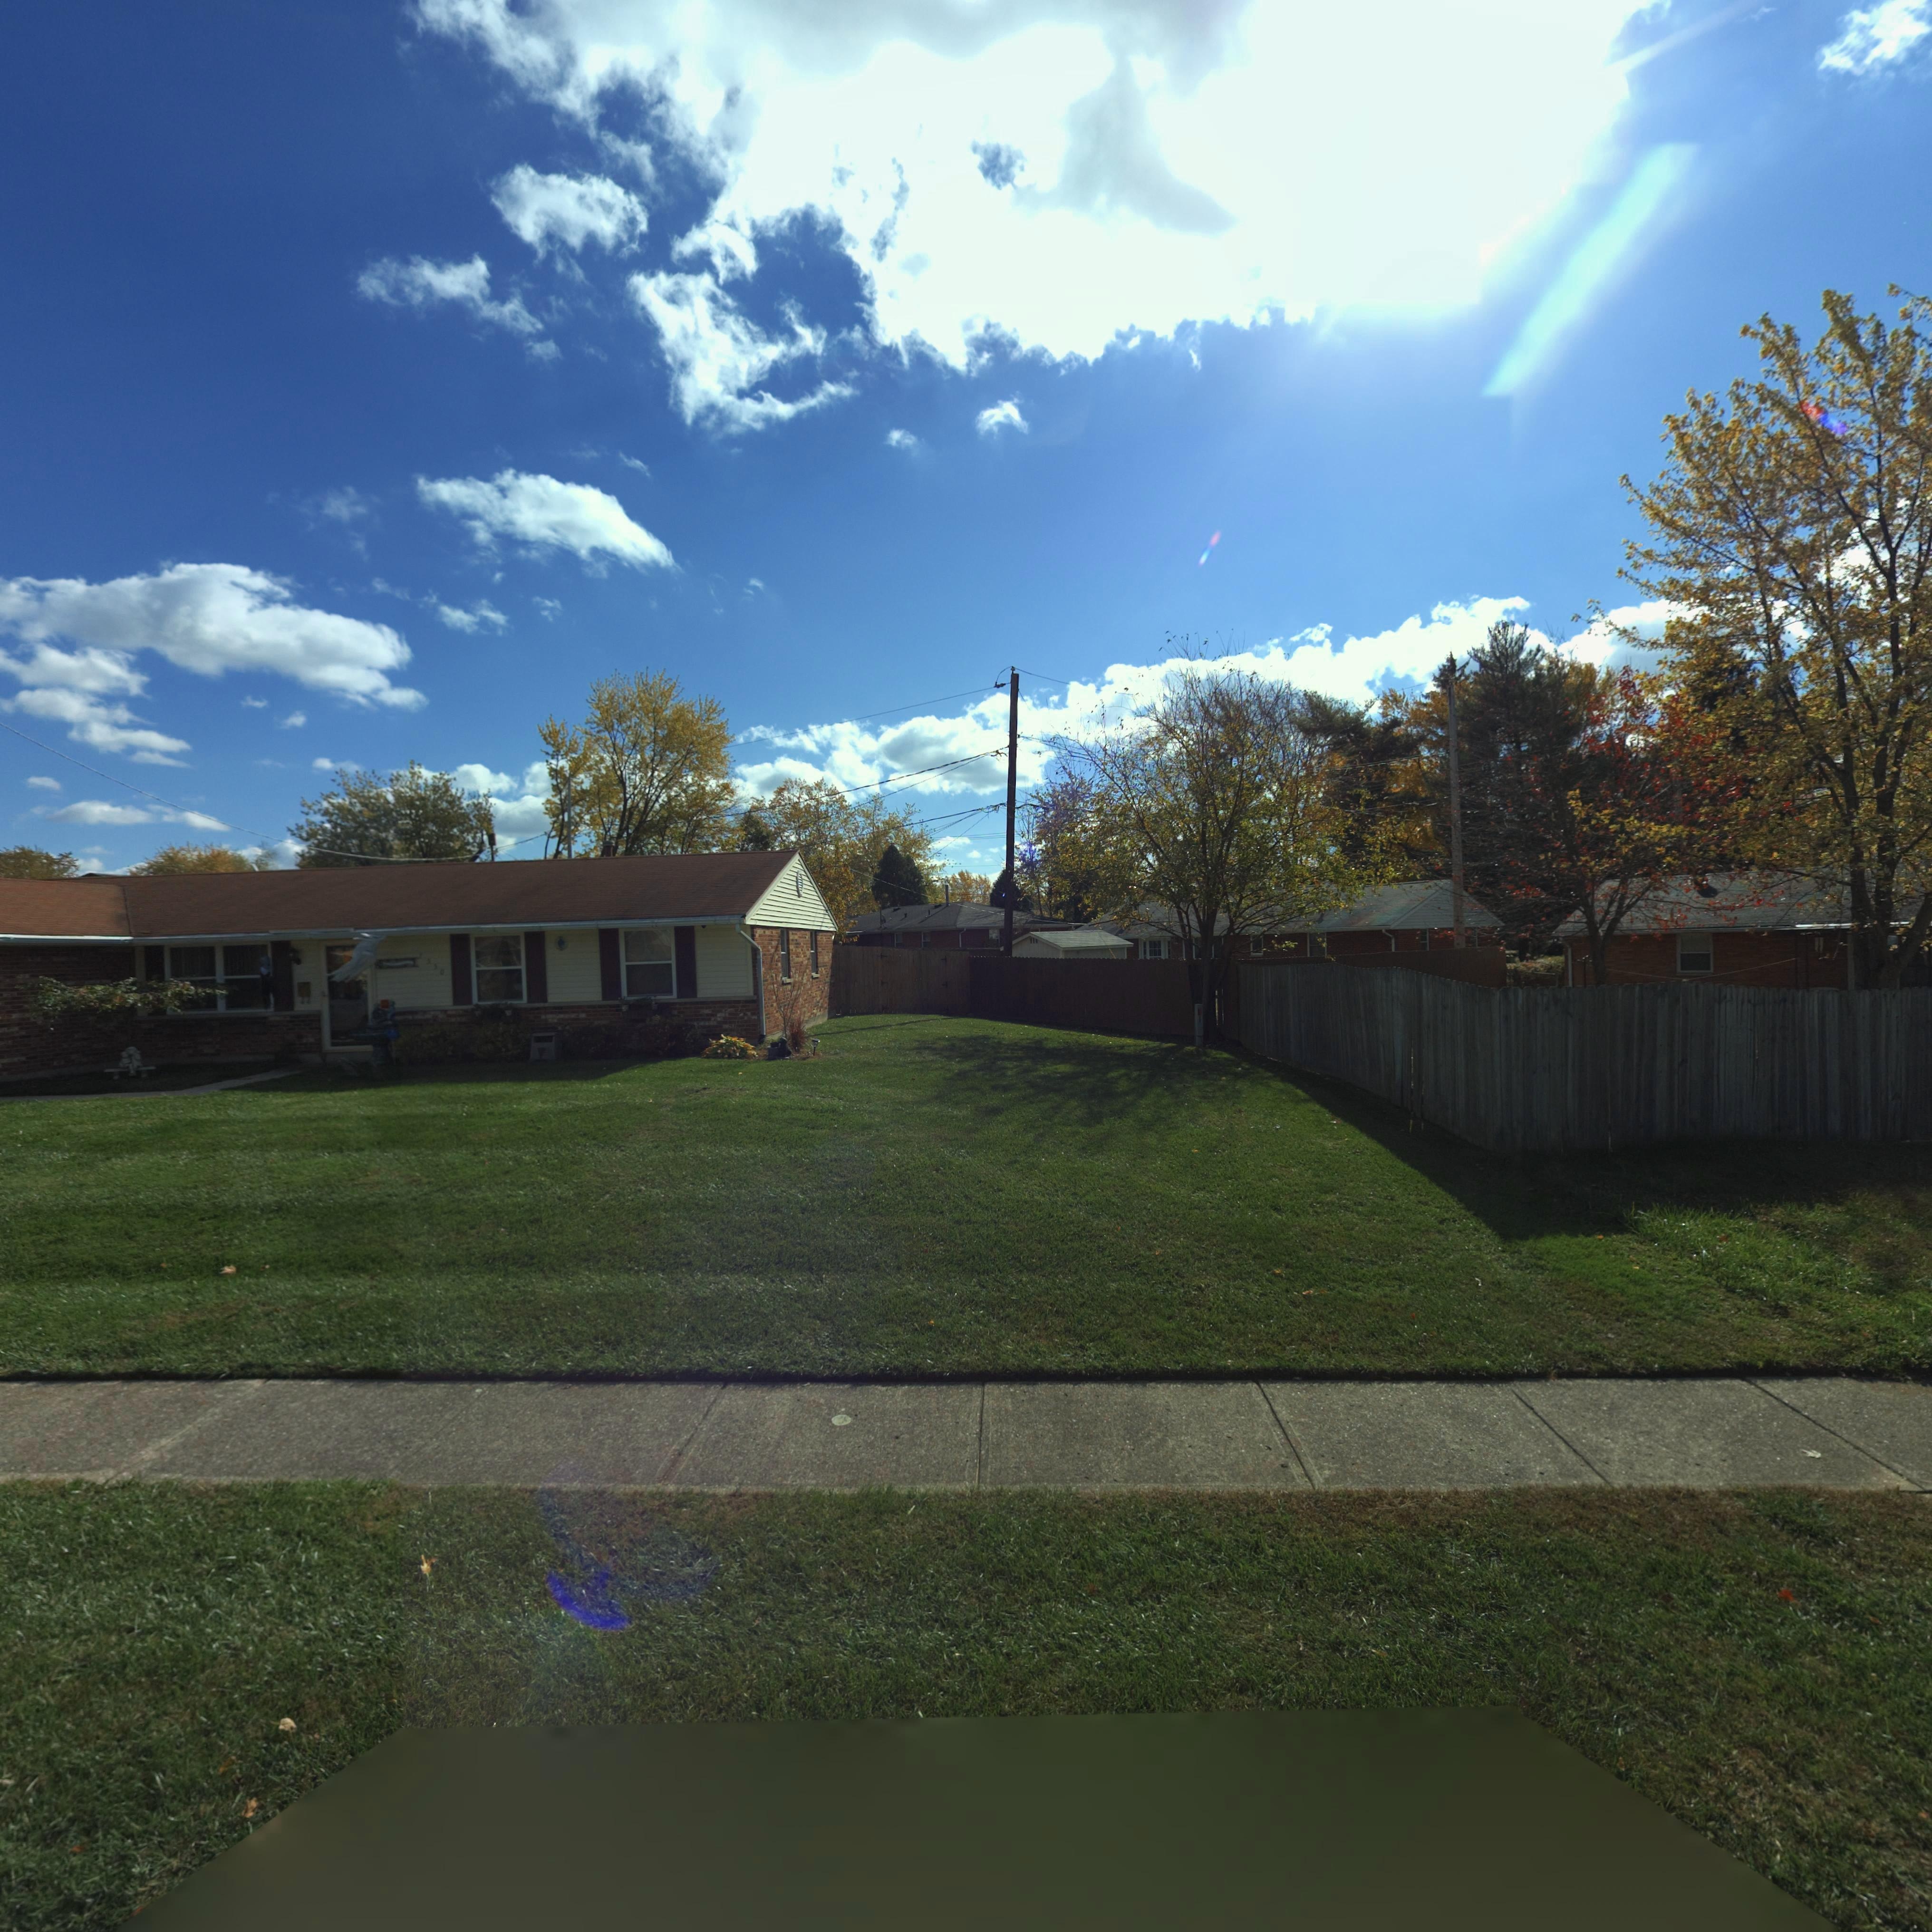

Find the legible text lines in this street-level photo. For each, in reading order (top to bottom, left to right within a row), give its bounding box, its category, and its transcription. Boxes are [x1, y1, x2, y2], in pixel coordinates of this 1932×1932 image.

[418, 952, 445, 976] StreetNumber: 7550